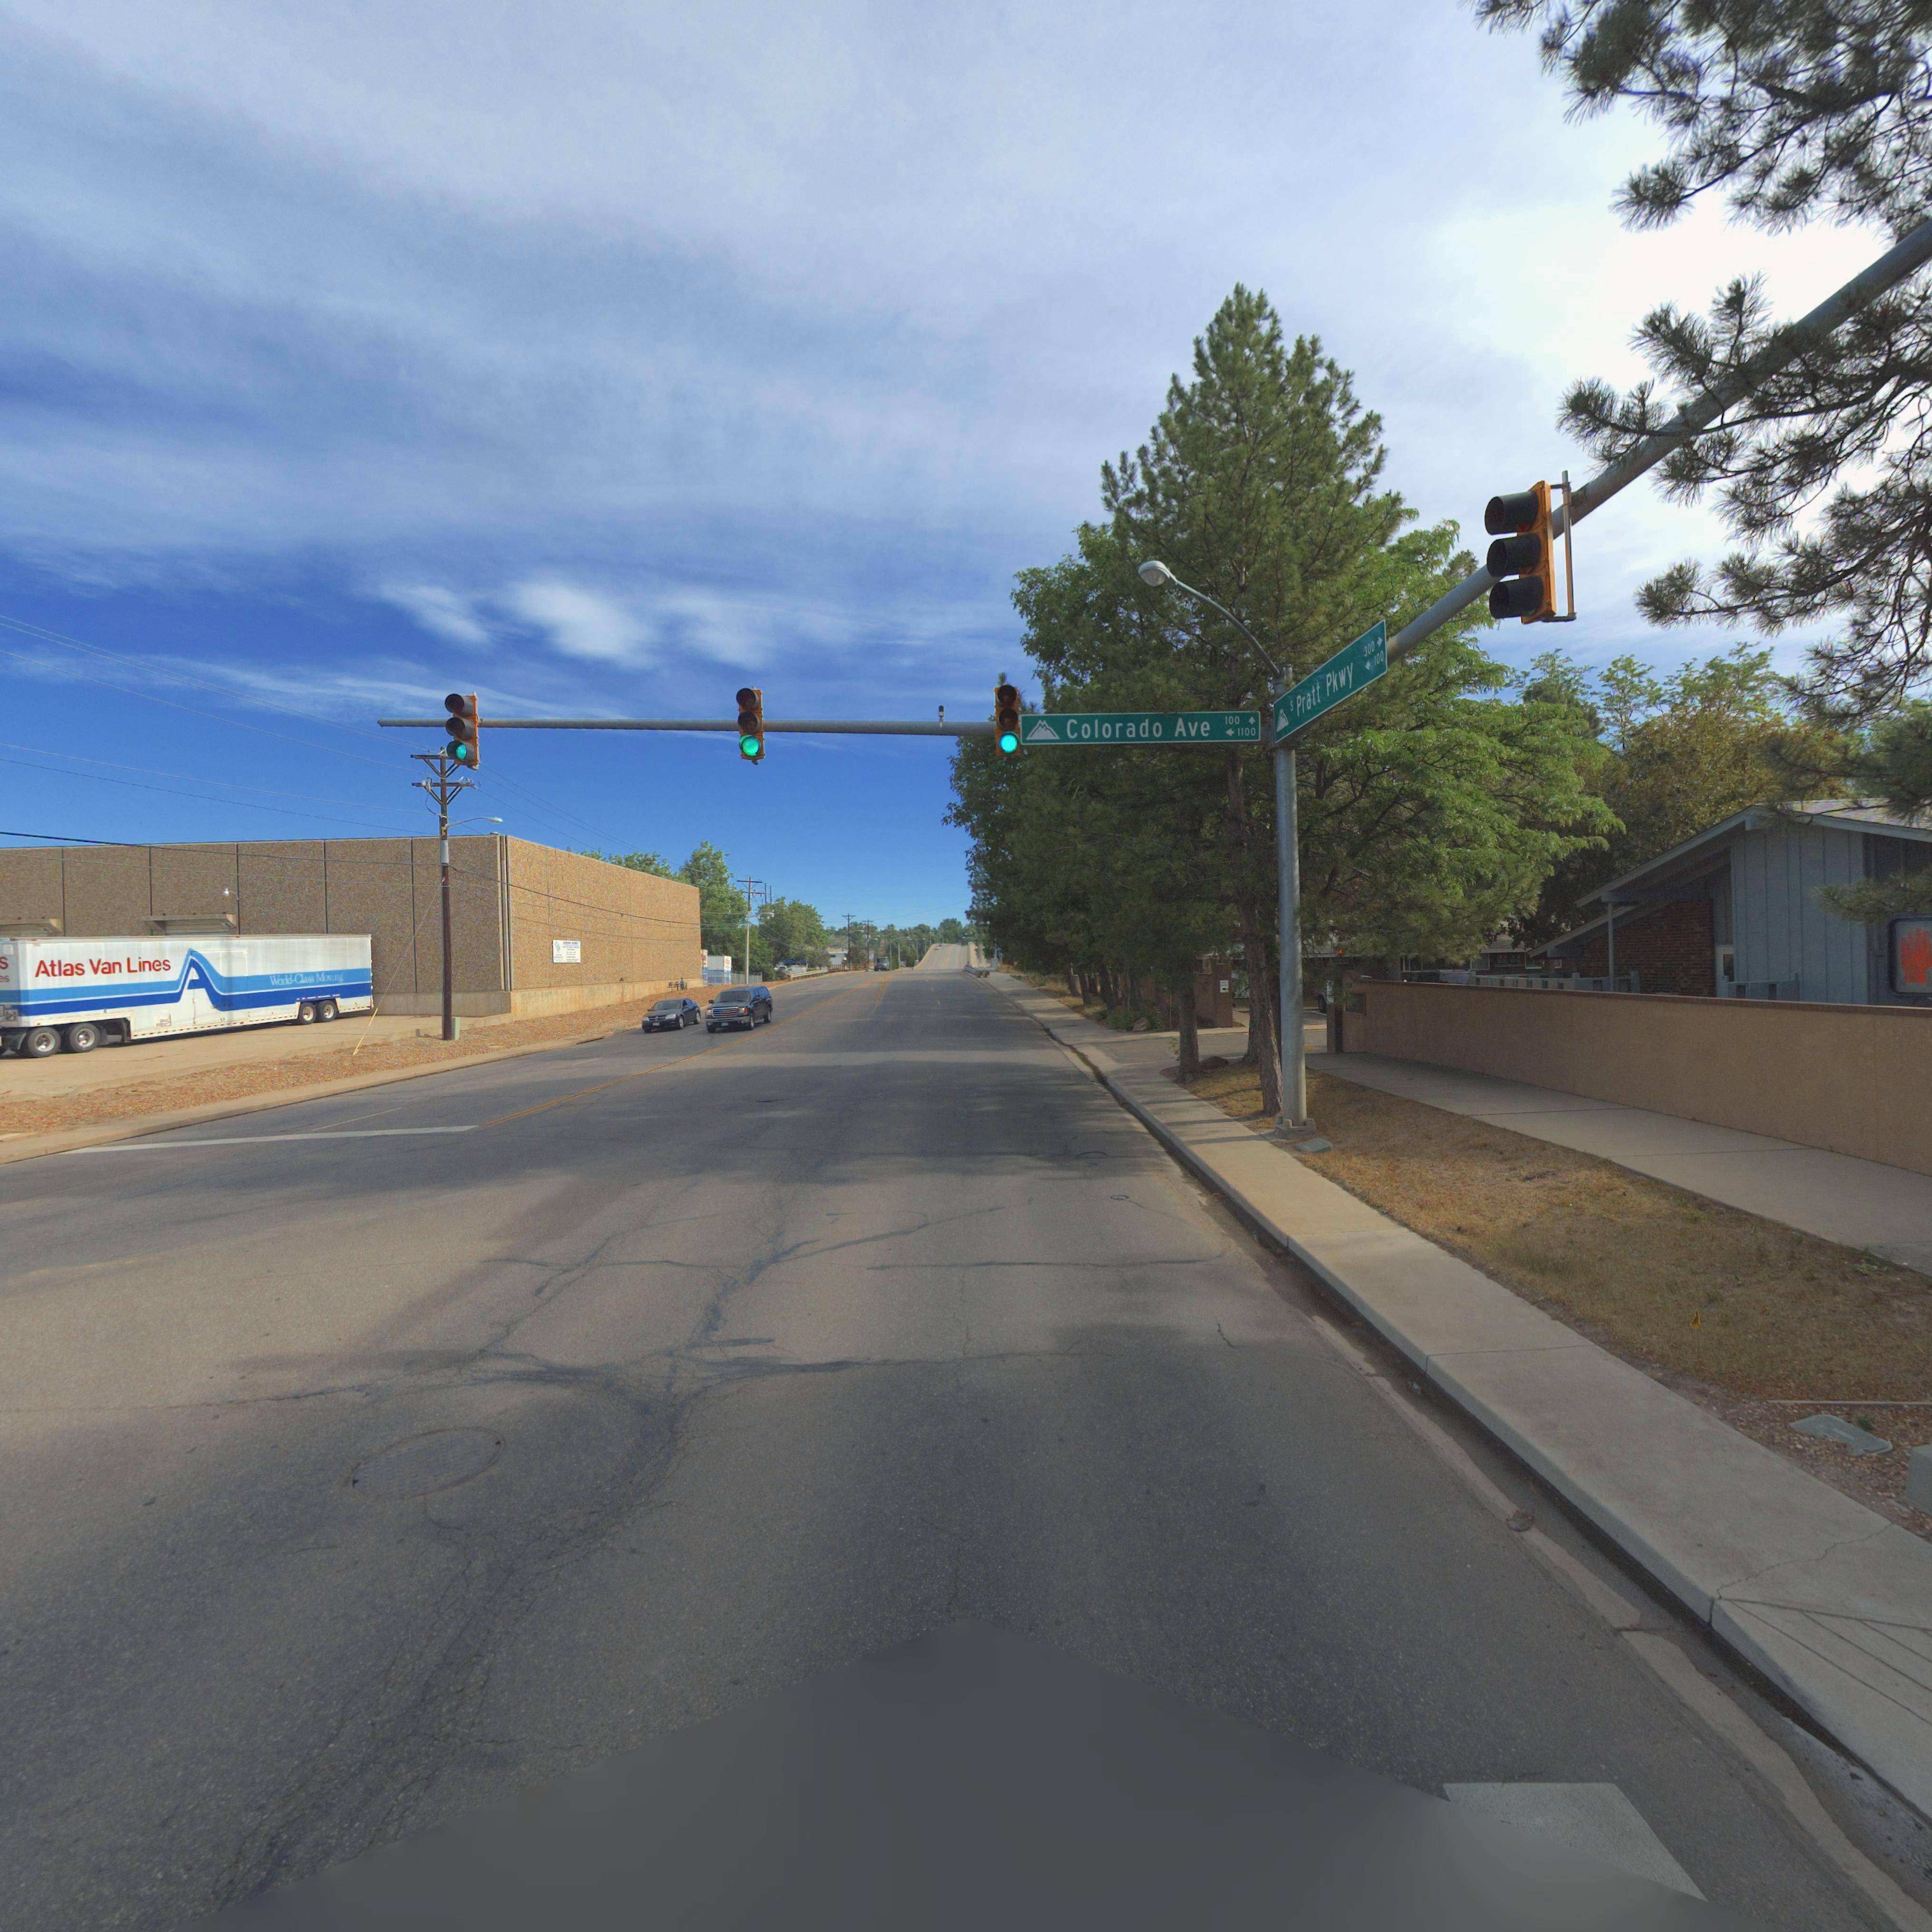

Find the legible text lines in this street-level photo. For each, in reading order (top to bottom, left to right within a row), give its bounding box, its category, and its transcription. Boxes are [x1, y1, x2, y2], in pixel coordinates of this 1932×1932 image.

[1362, 635, 1384, 658] StreetNumberRange: 300->
[1362, 649, 1385, 671] StreetNumberRange: <-100
[1288, 660, 1355, 718] StreetName: S Pratt Pkwy
[1065, 715, 1211, 739] StreetName: Colorado Ave
[1224, 715, 1240, 724] StreetNumber: 100
[1224, 725, 1256, 737] StreetNumberRange: <-1100